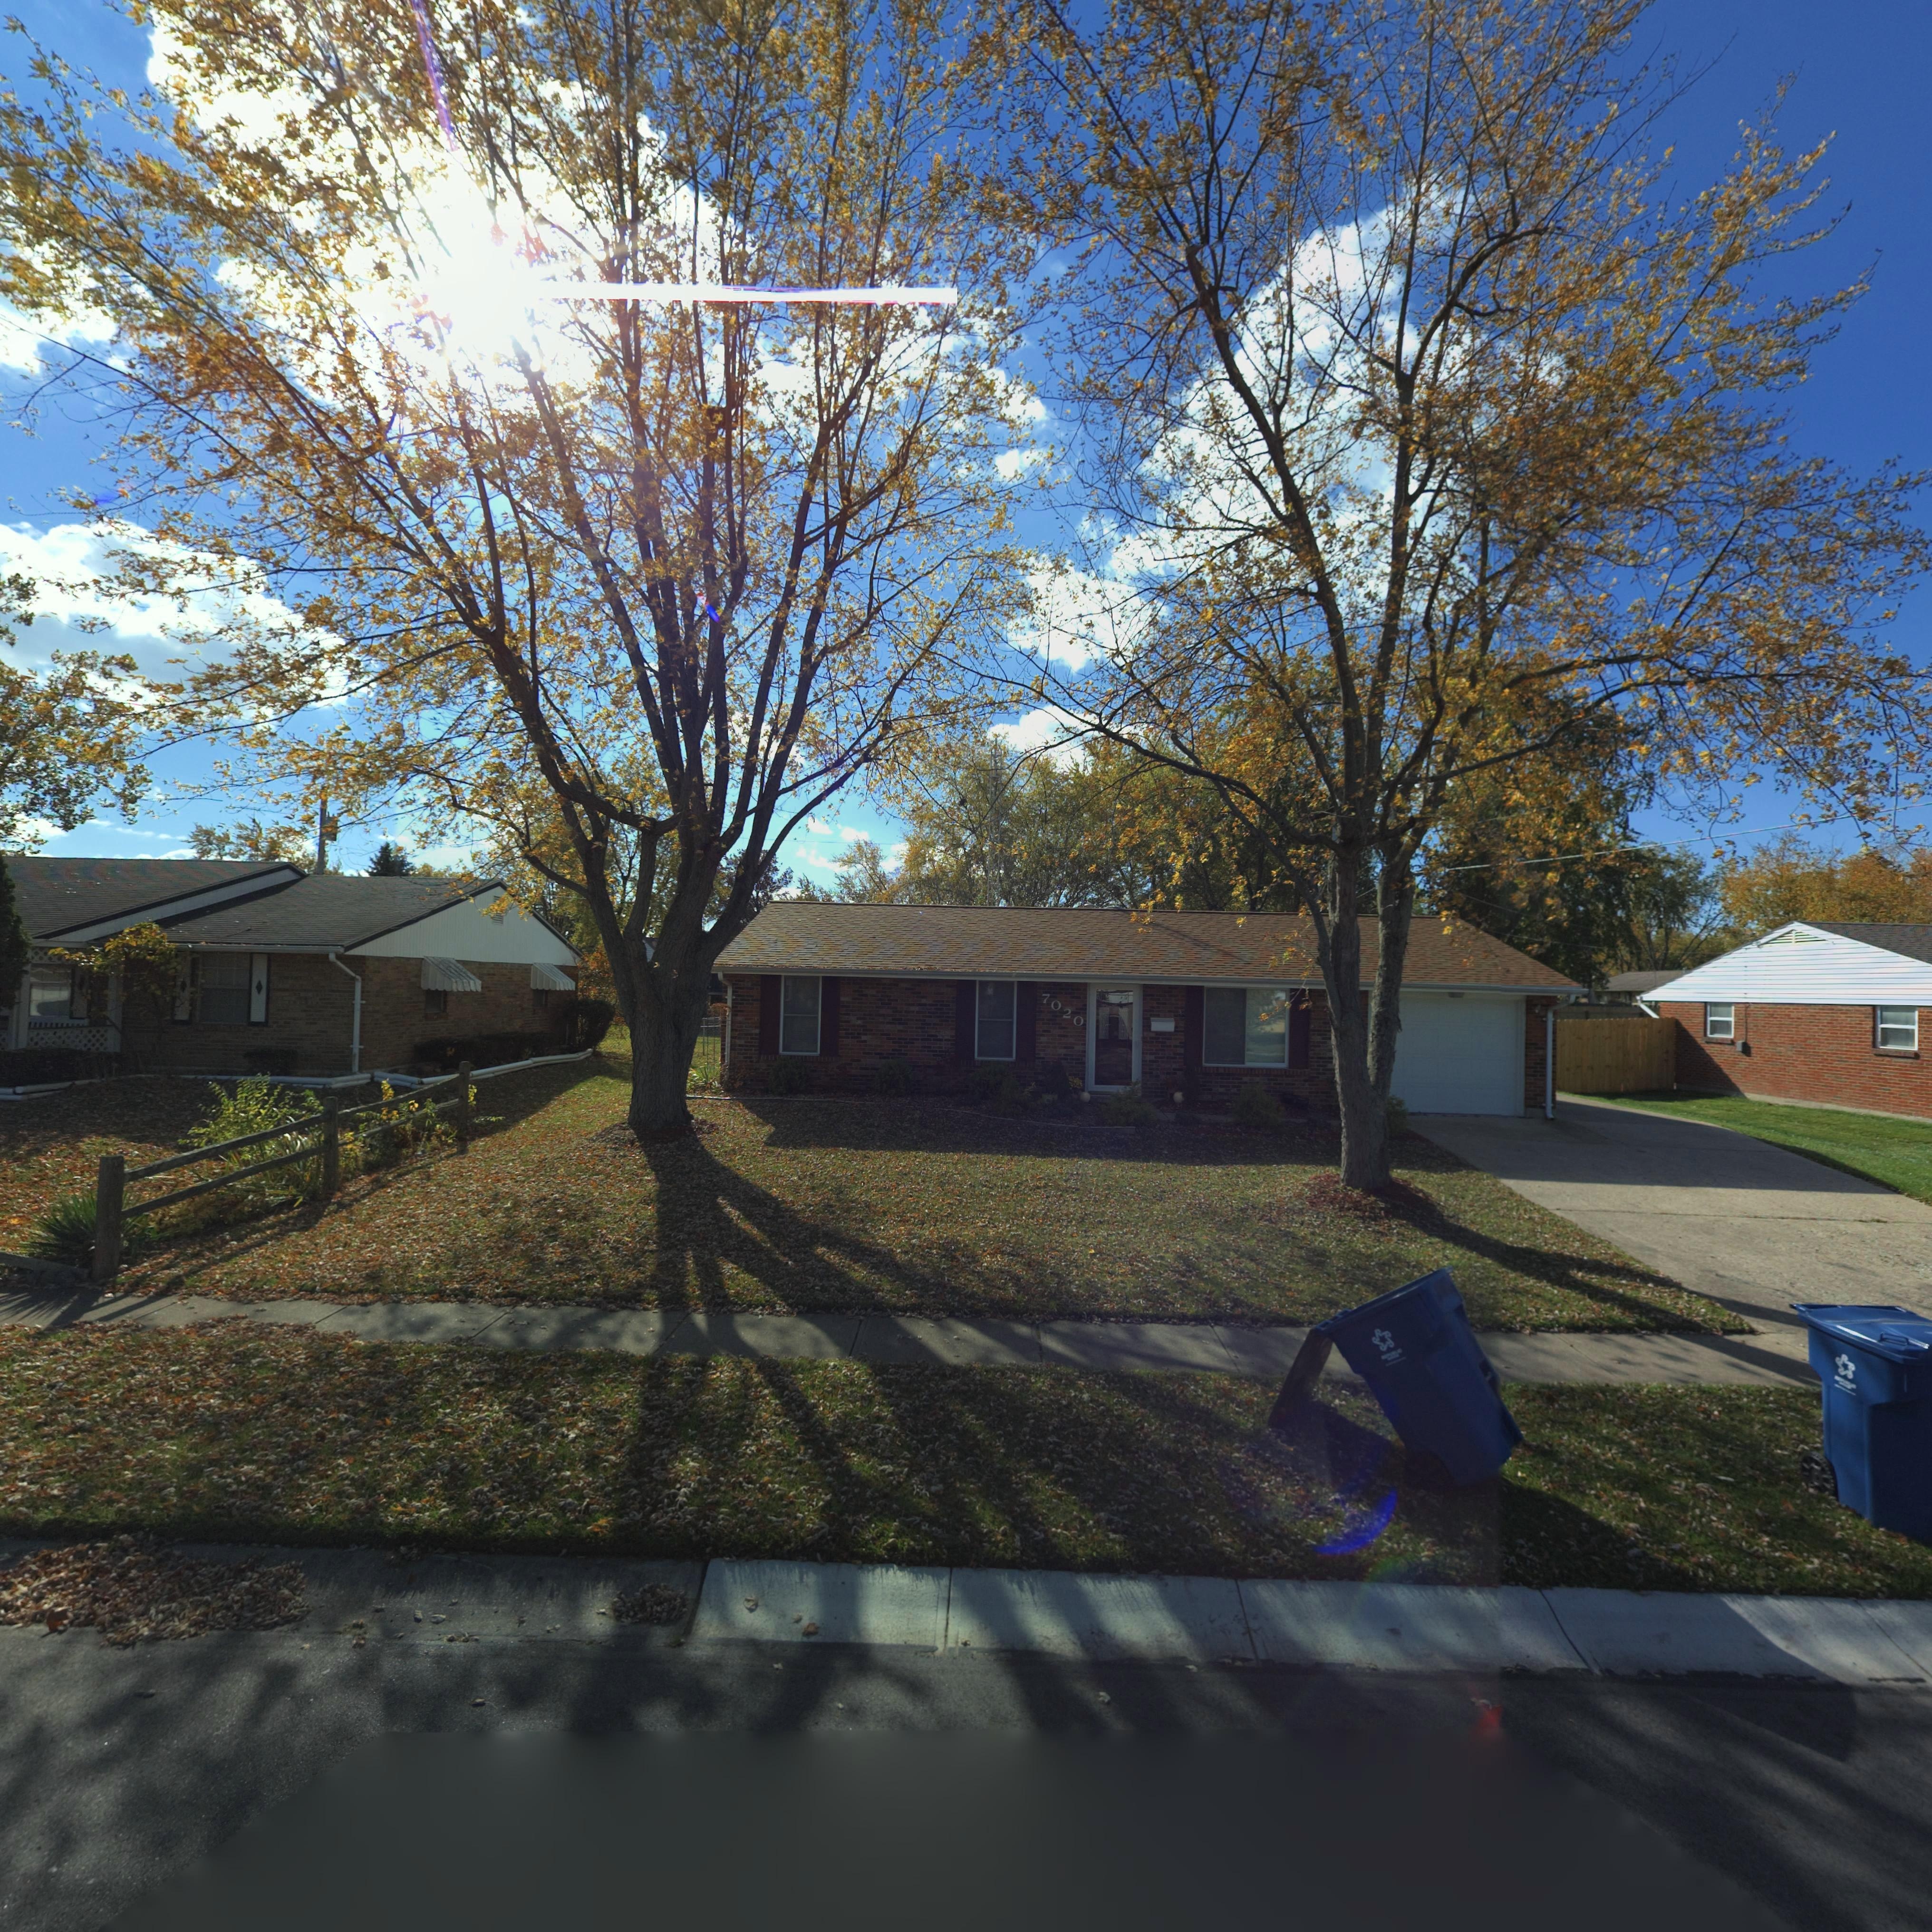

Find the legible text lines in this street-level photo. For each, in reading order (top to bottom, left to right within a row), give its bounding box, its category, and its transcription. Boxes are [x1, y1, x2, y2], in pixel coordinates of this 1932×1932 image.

[1041, 993, 1085, 1028] StreetNumber: 7020